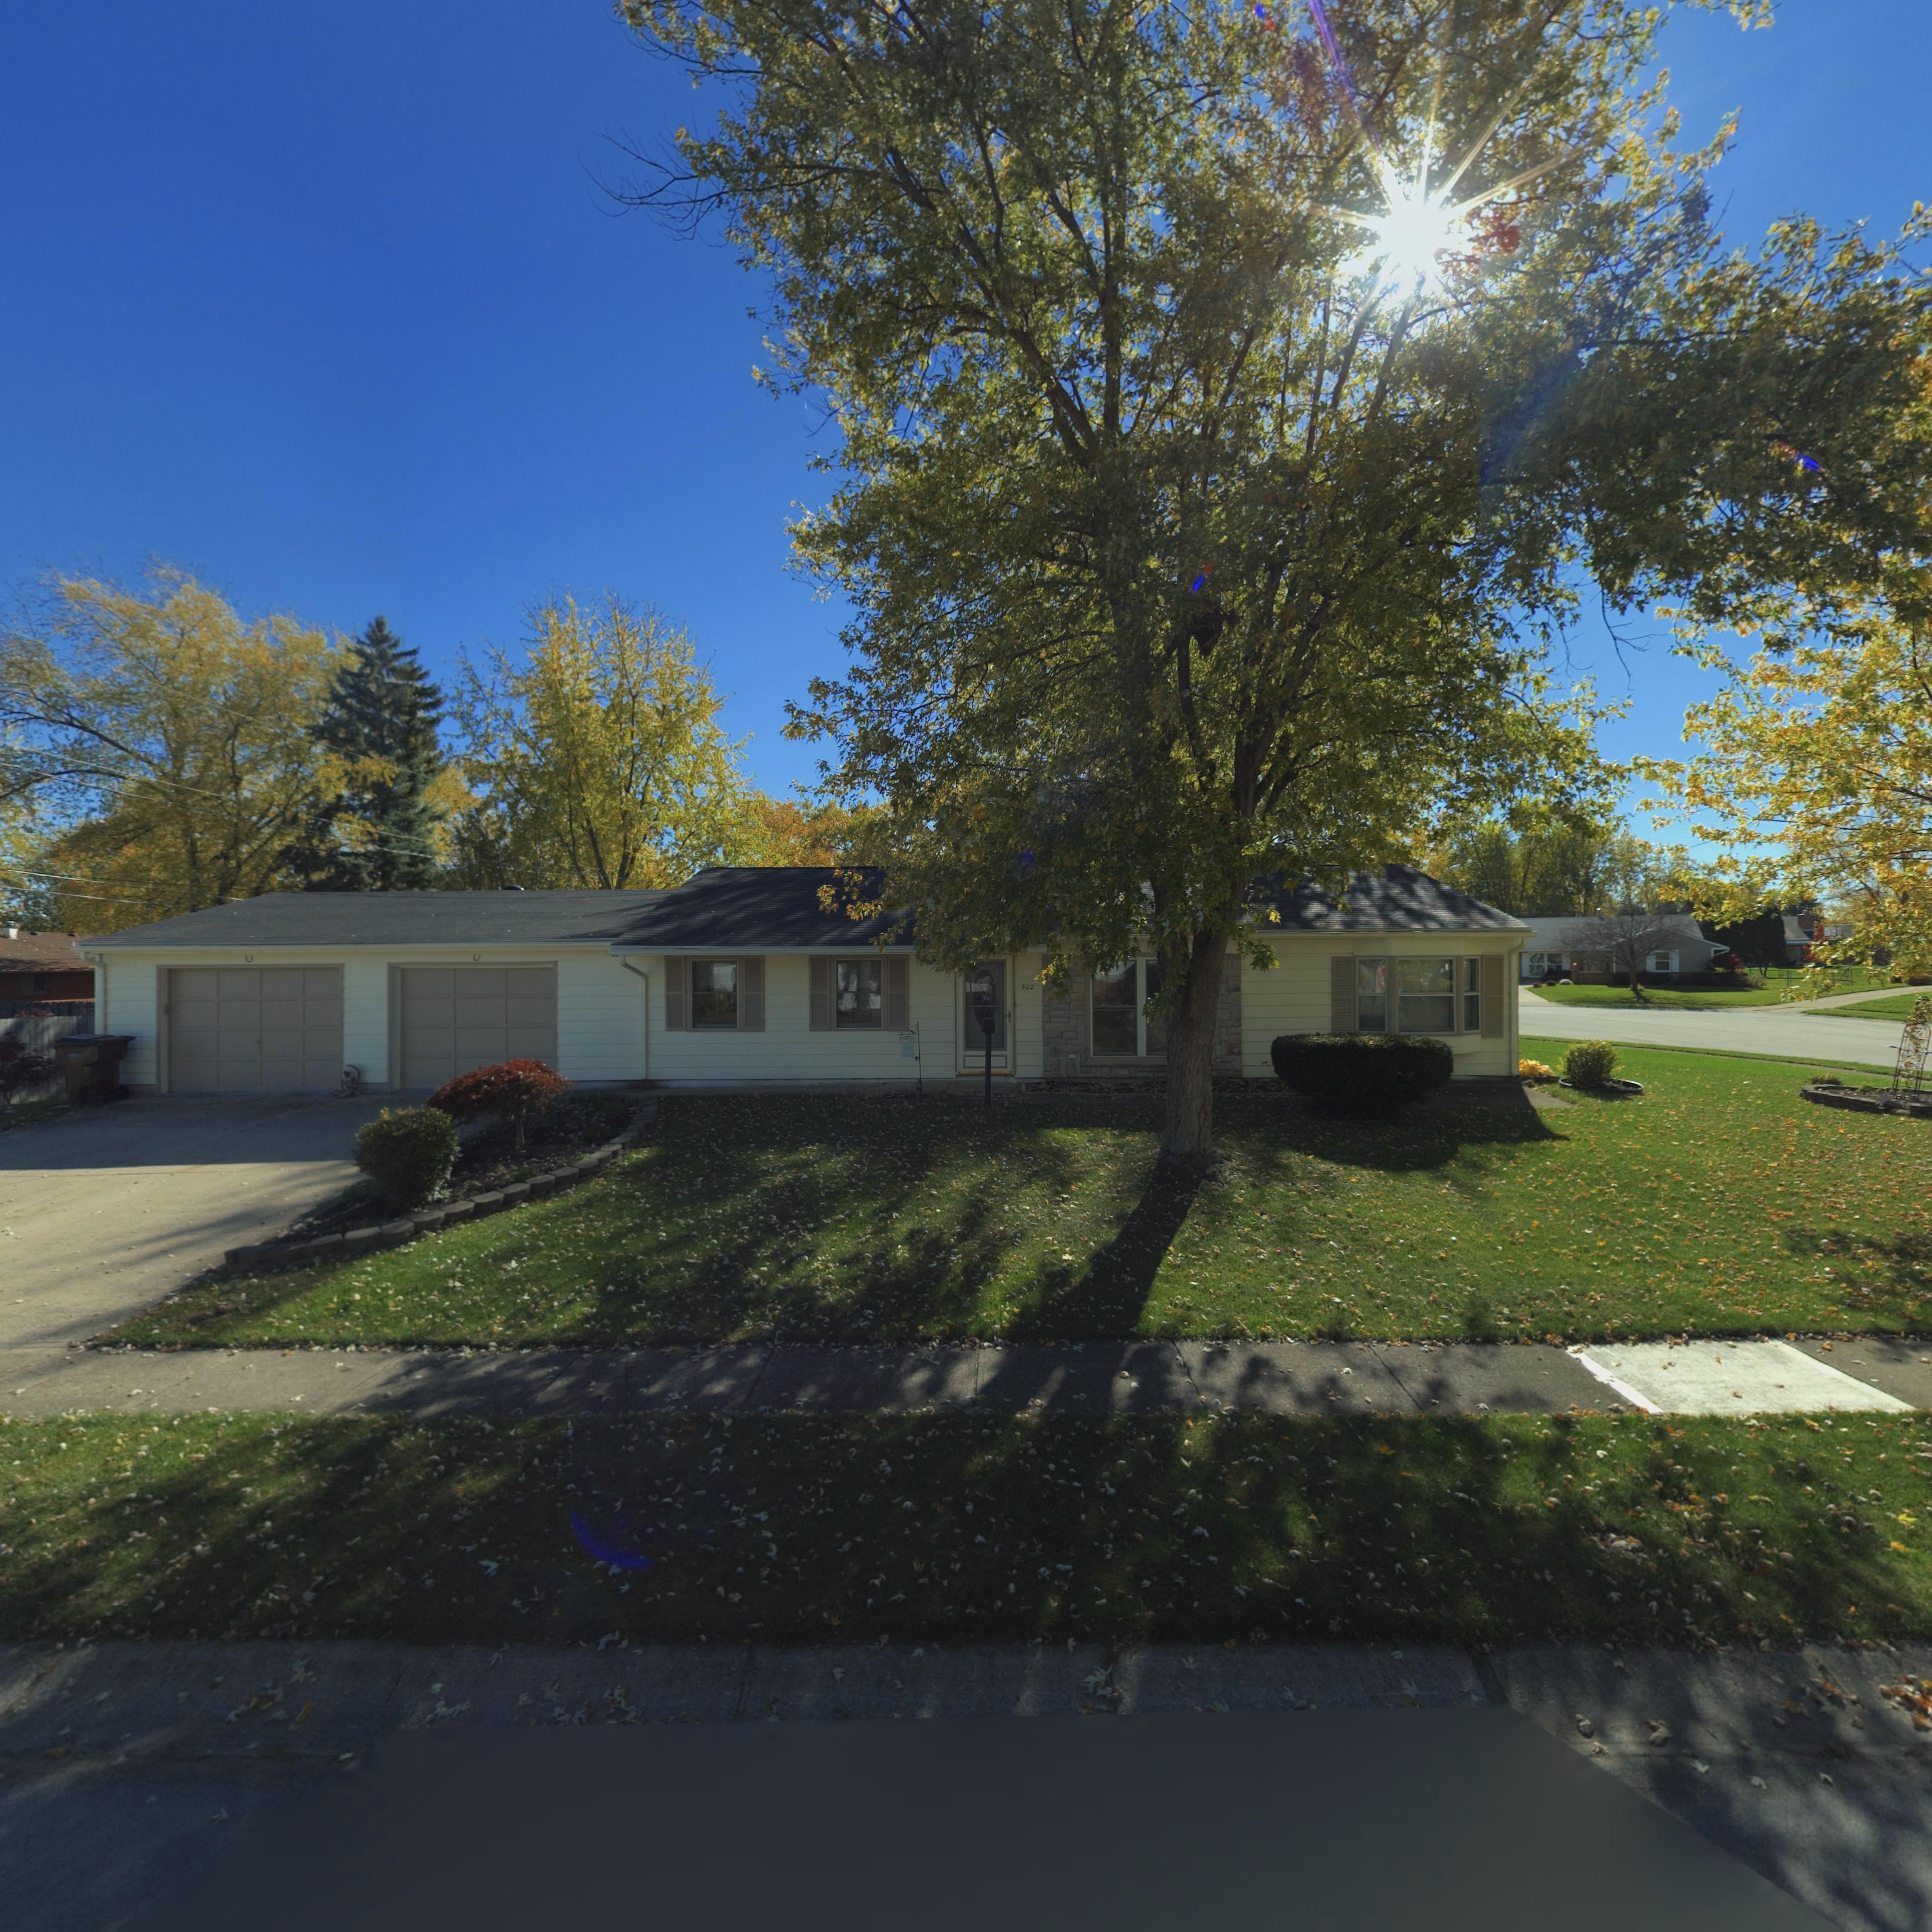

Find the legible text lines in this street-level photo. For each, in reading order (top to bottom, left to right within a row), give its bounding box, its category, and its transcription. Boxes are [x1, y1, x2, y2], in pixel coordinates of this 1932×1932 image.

[1021, 983, 1034, 990] StreetNumber: 502